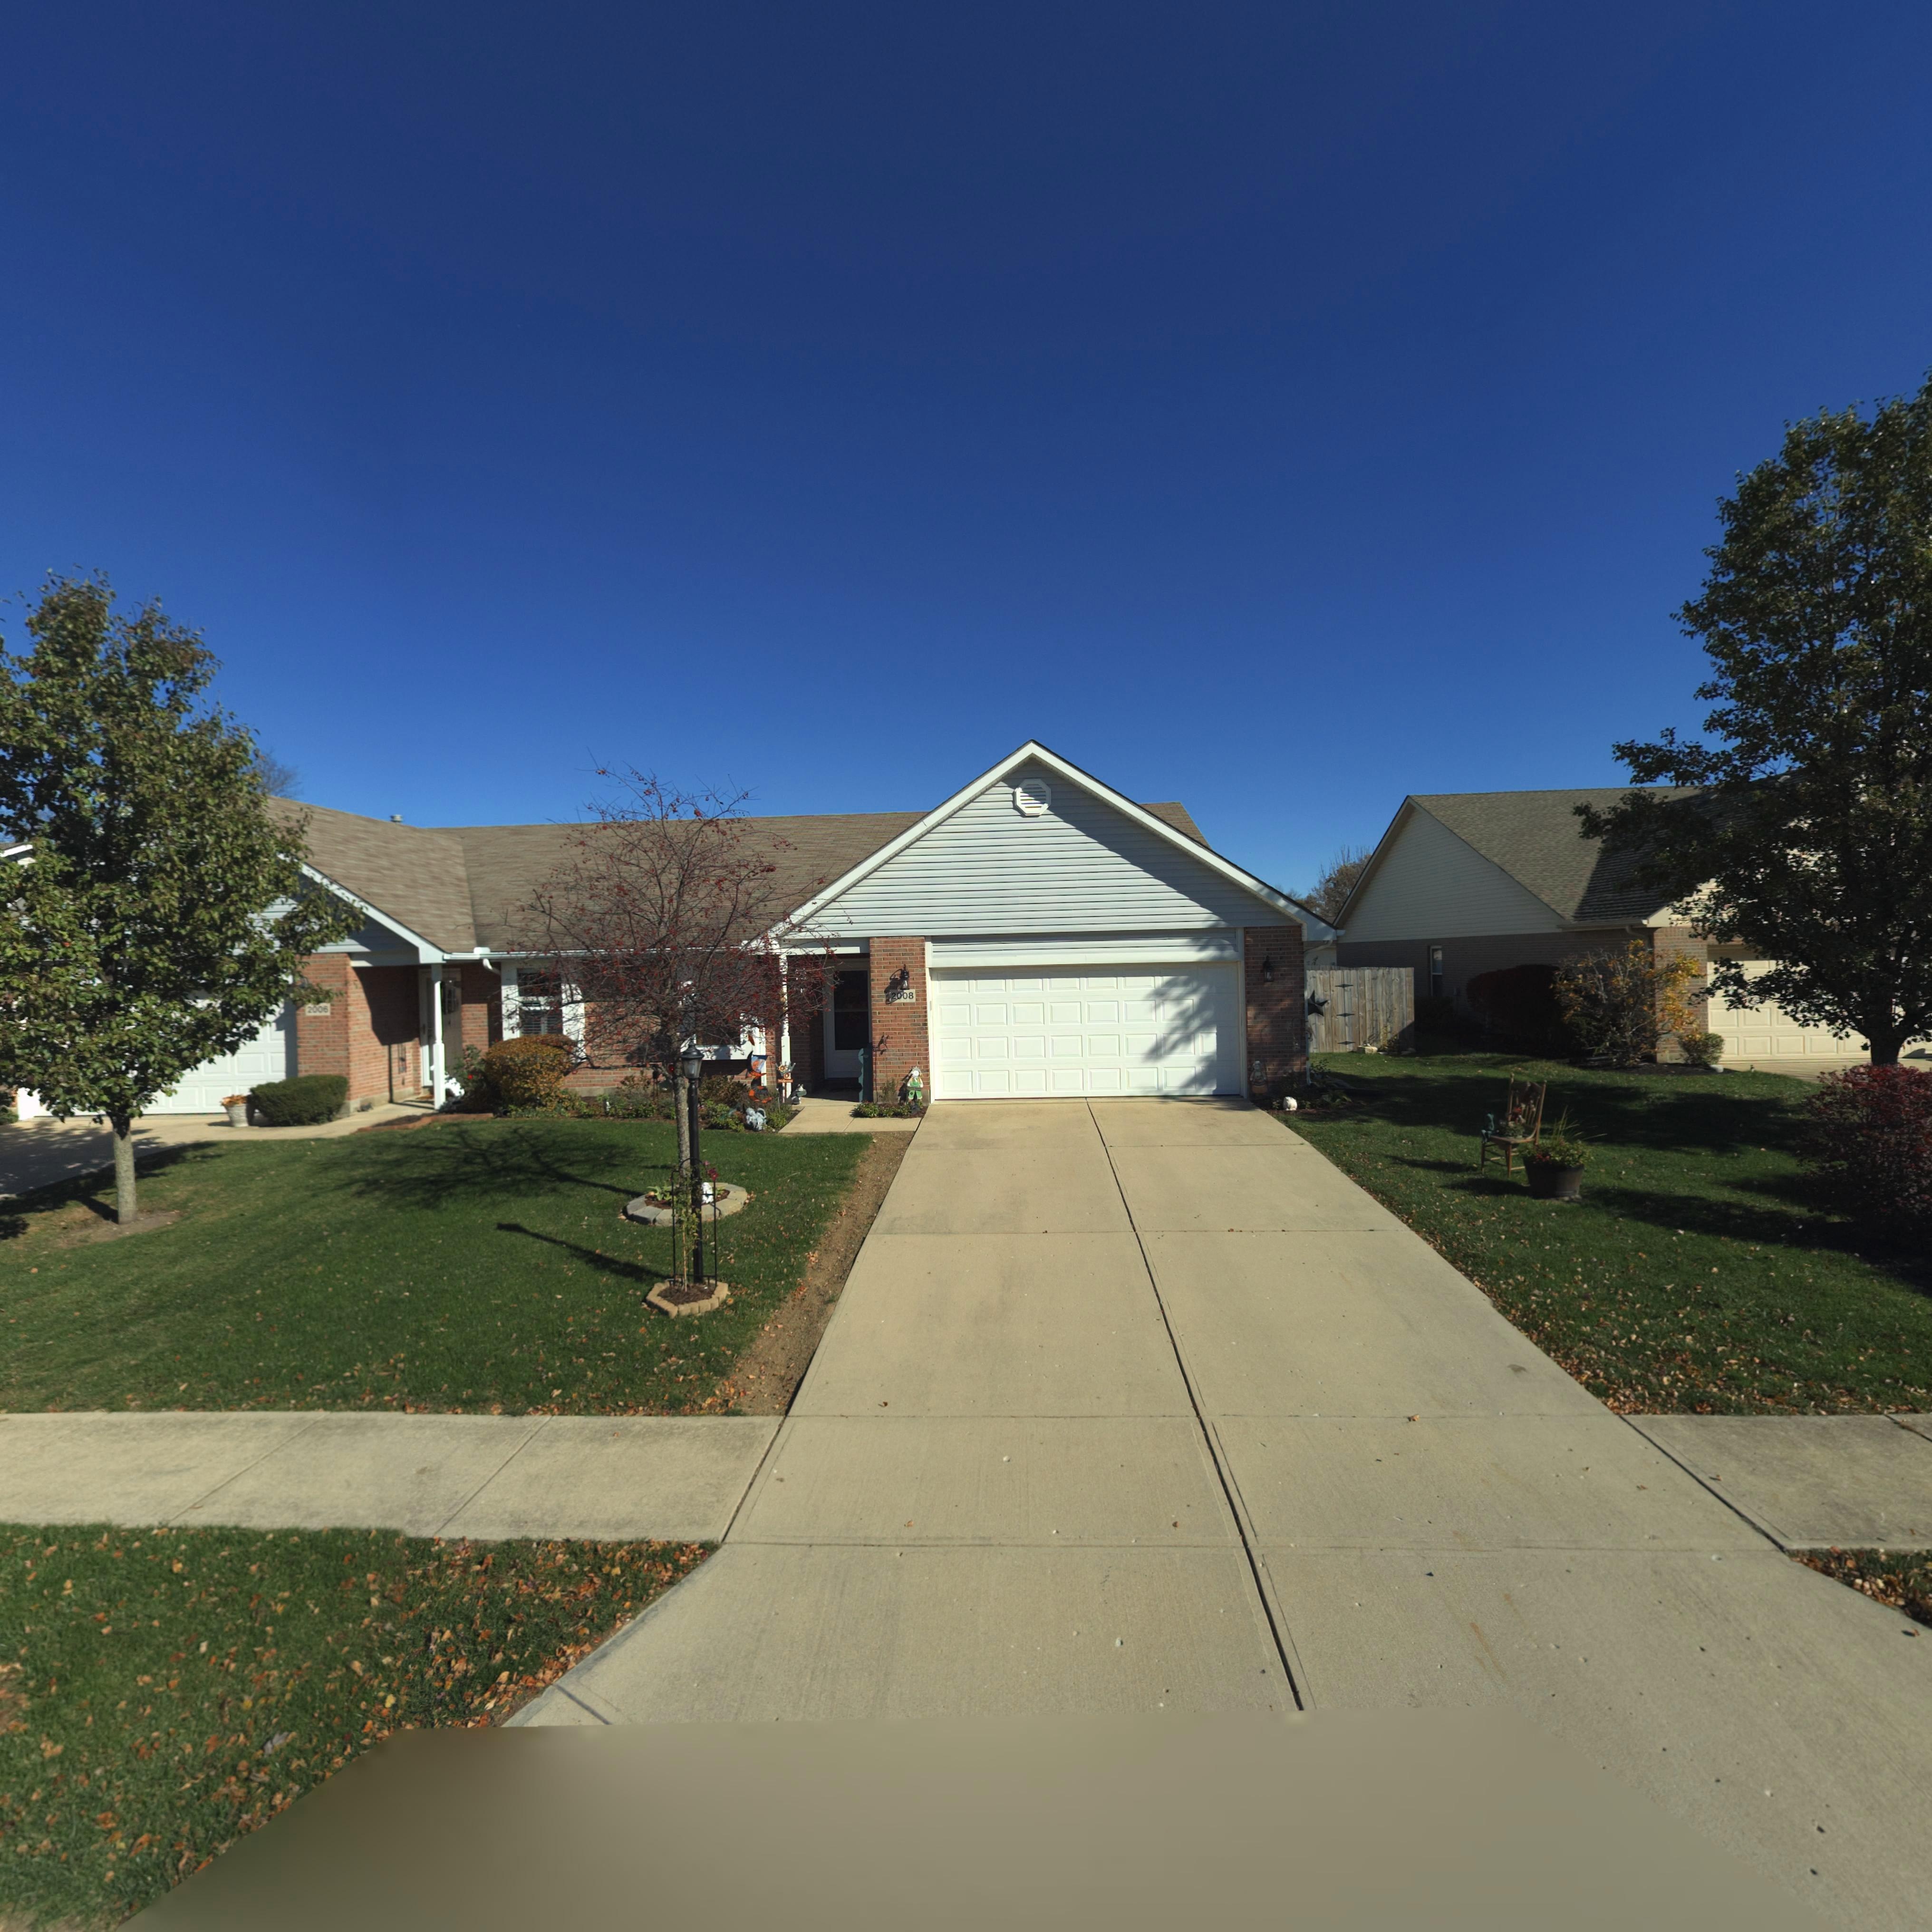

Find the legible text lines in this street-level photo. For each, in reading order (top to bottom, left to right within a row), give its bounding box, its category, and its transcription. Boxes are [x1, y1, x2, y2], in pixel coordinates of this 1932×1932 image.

[890, 991, 915, 1001] StreetNumber: 2008
[306, 1005, 329, 1014] StreetNumber: 2006